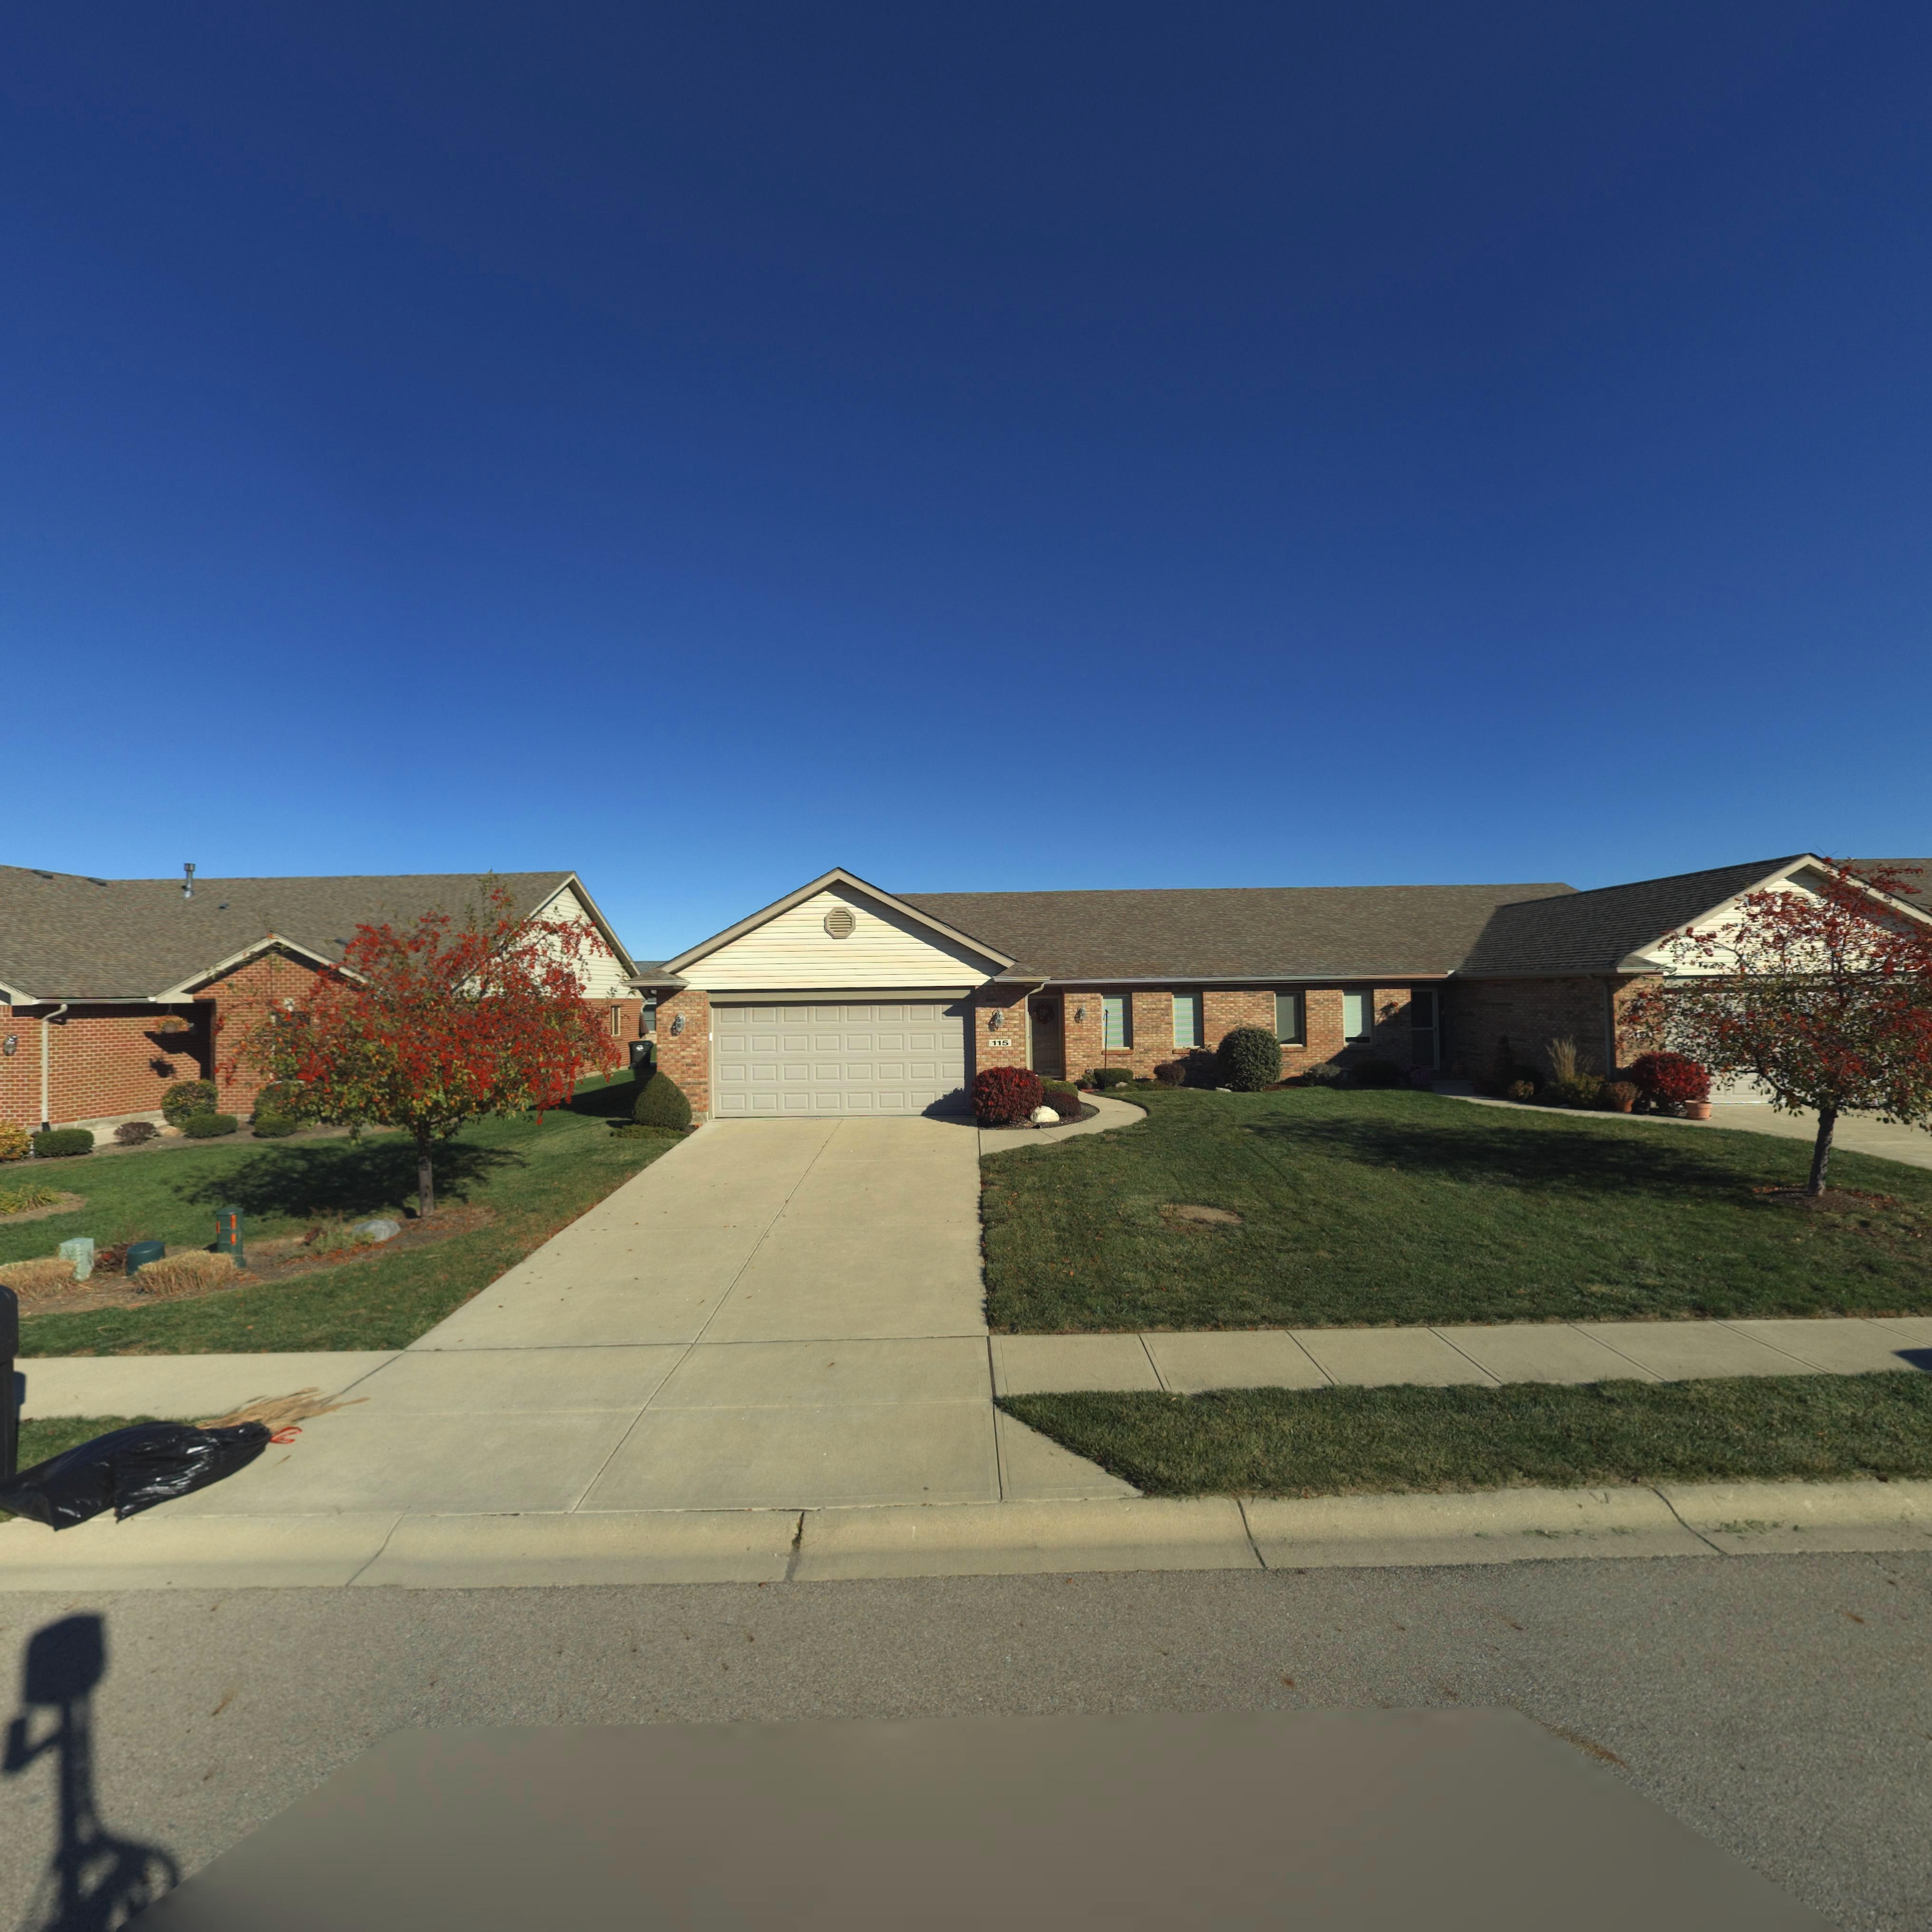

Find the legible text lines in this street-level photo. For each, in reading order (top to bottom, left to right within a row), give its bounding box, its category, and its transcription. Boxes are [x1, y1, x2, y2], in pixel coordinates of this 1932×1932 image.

[991, 1039, 1010, 1046] StreetNumber: 115